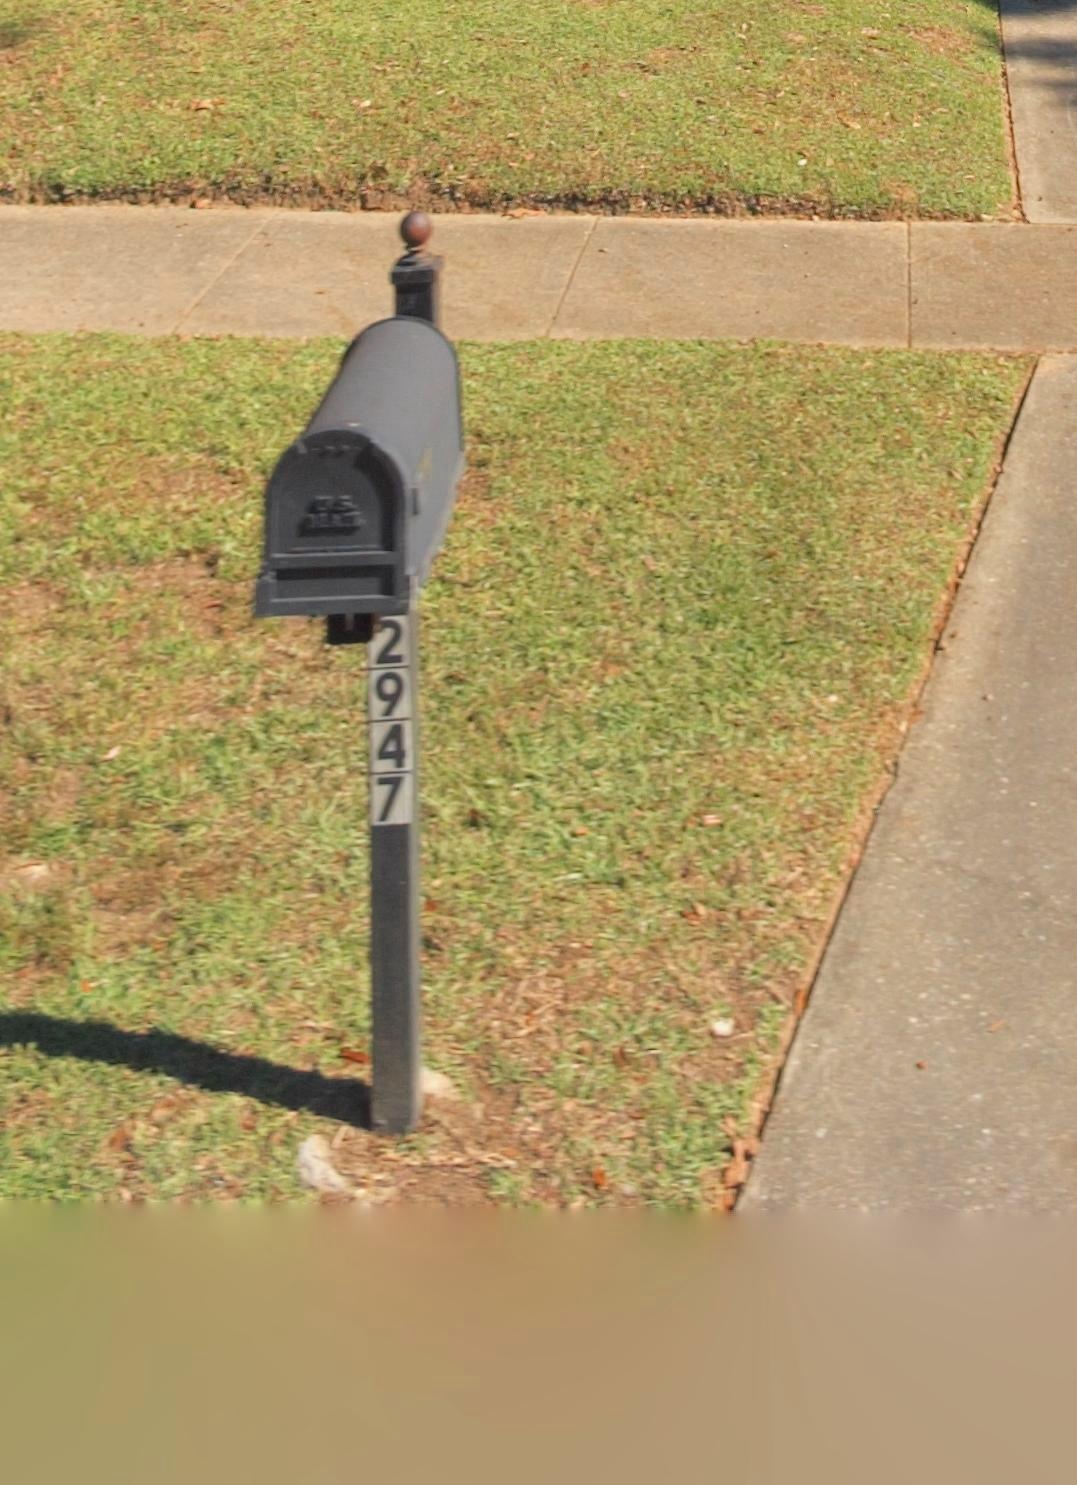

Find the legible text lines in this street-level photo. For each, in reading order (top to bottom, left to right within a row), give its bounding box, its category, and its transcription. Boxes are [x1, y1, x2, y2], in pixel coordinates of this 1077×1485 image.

[369, 616, 411, 825] StreetNumber: 2947